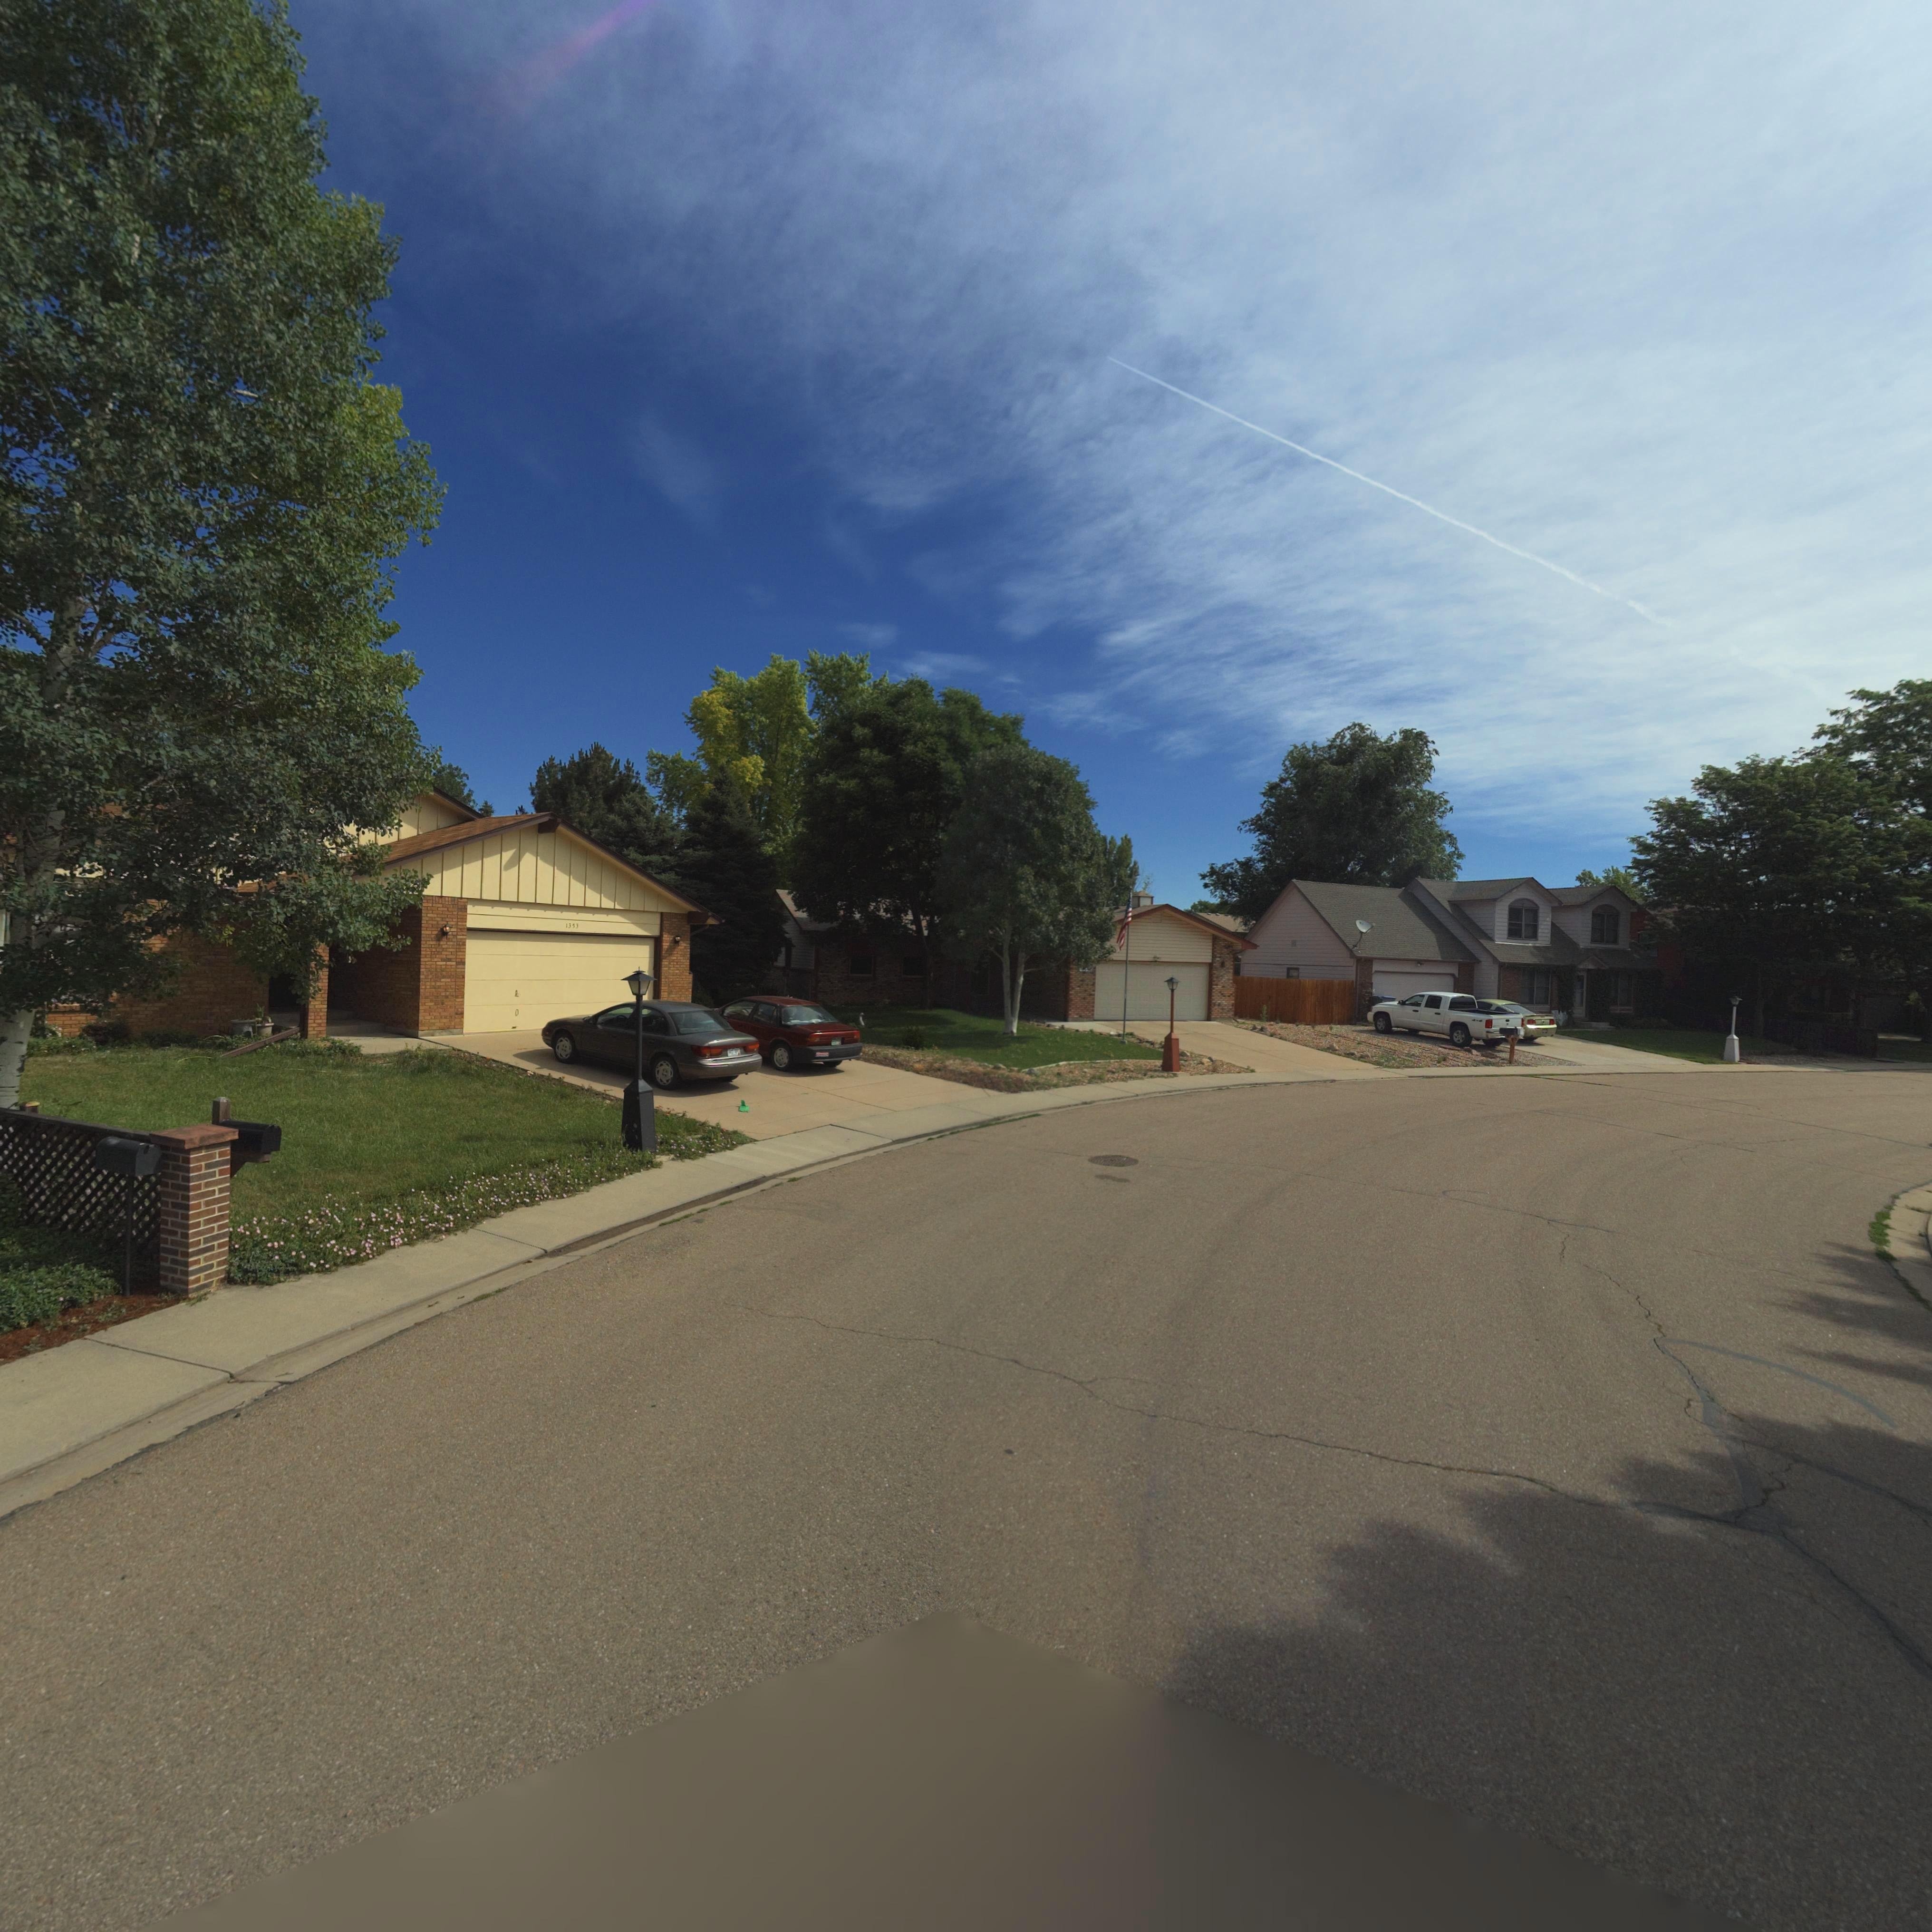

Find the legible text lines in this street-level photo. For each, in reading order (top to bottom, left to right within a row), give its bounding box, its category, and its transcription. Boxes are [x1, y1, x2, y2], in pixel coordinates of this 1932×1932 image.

[565, 922, 579, 929] StreetNumber: 1353